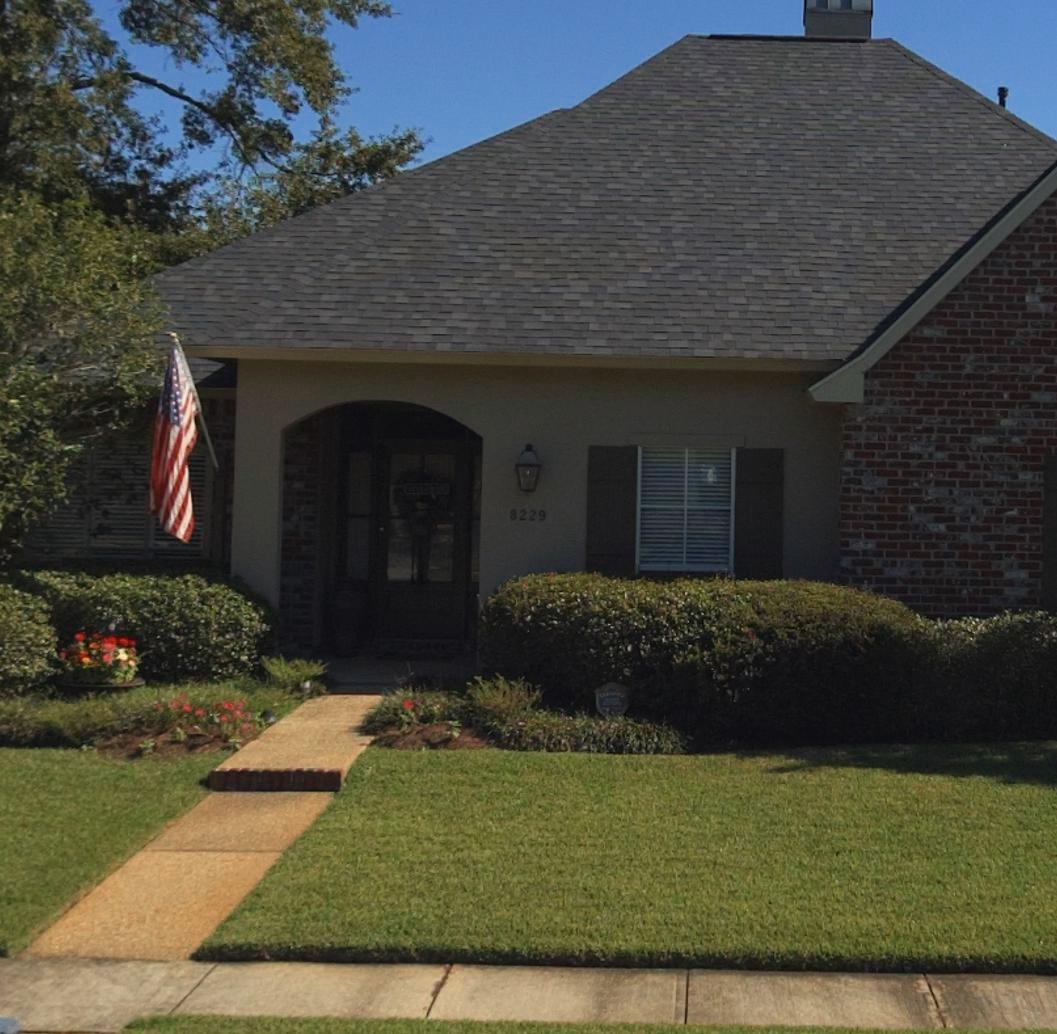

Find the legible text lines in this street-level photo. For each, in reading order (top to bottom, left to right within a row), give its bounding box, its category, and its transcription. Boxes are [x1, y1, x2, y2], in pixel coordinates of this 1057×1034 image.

[509, 508, 547, 521] StreetNumber: 8229